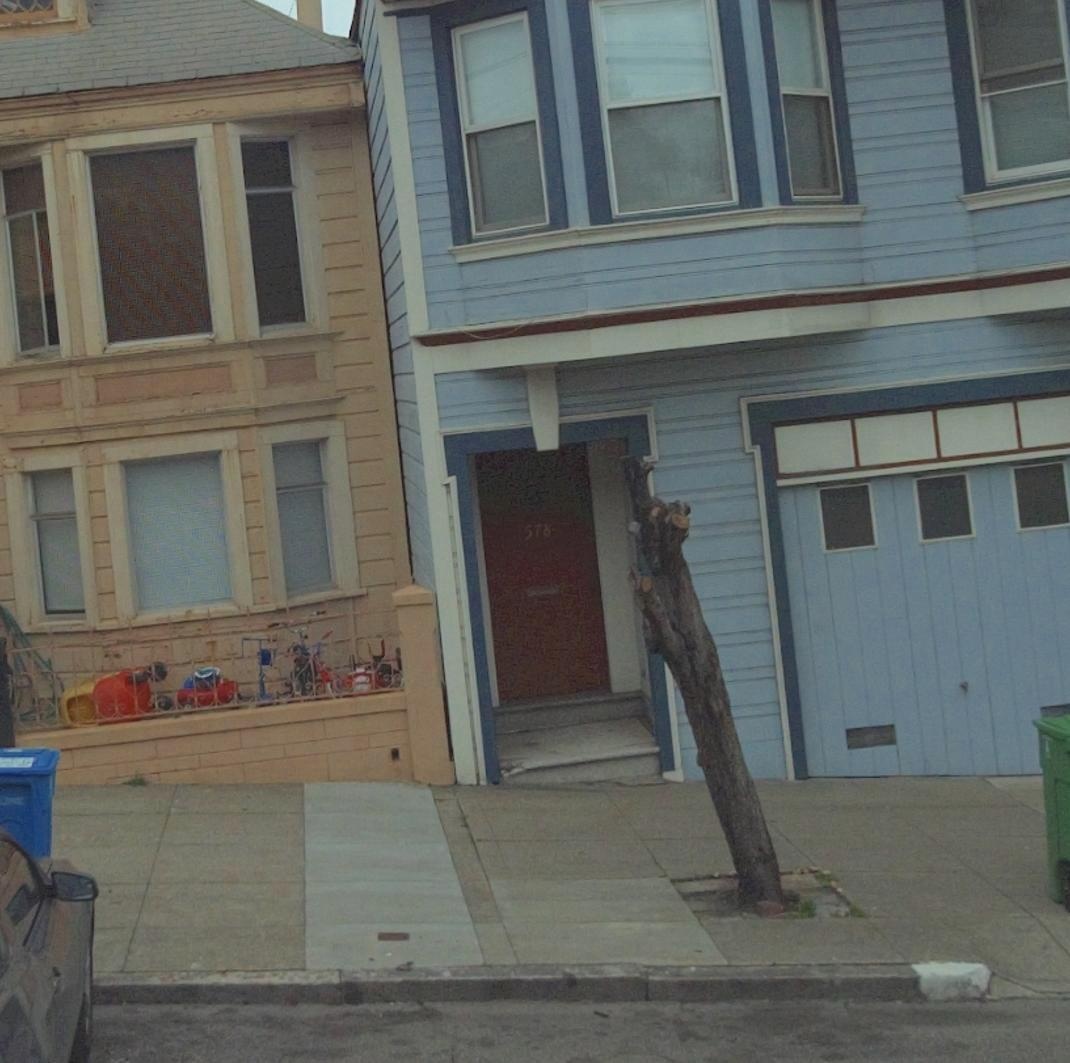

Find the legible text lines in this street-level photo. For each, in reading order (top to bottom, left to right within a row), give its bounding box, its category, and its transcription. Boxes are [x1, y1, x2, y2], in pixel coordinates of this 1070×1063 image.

[522, 521, 554, 543] StreetNumber: 578